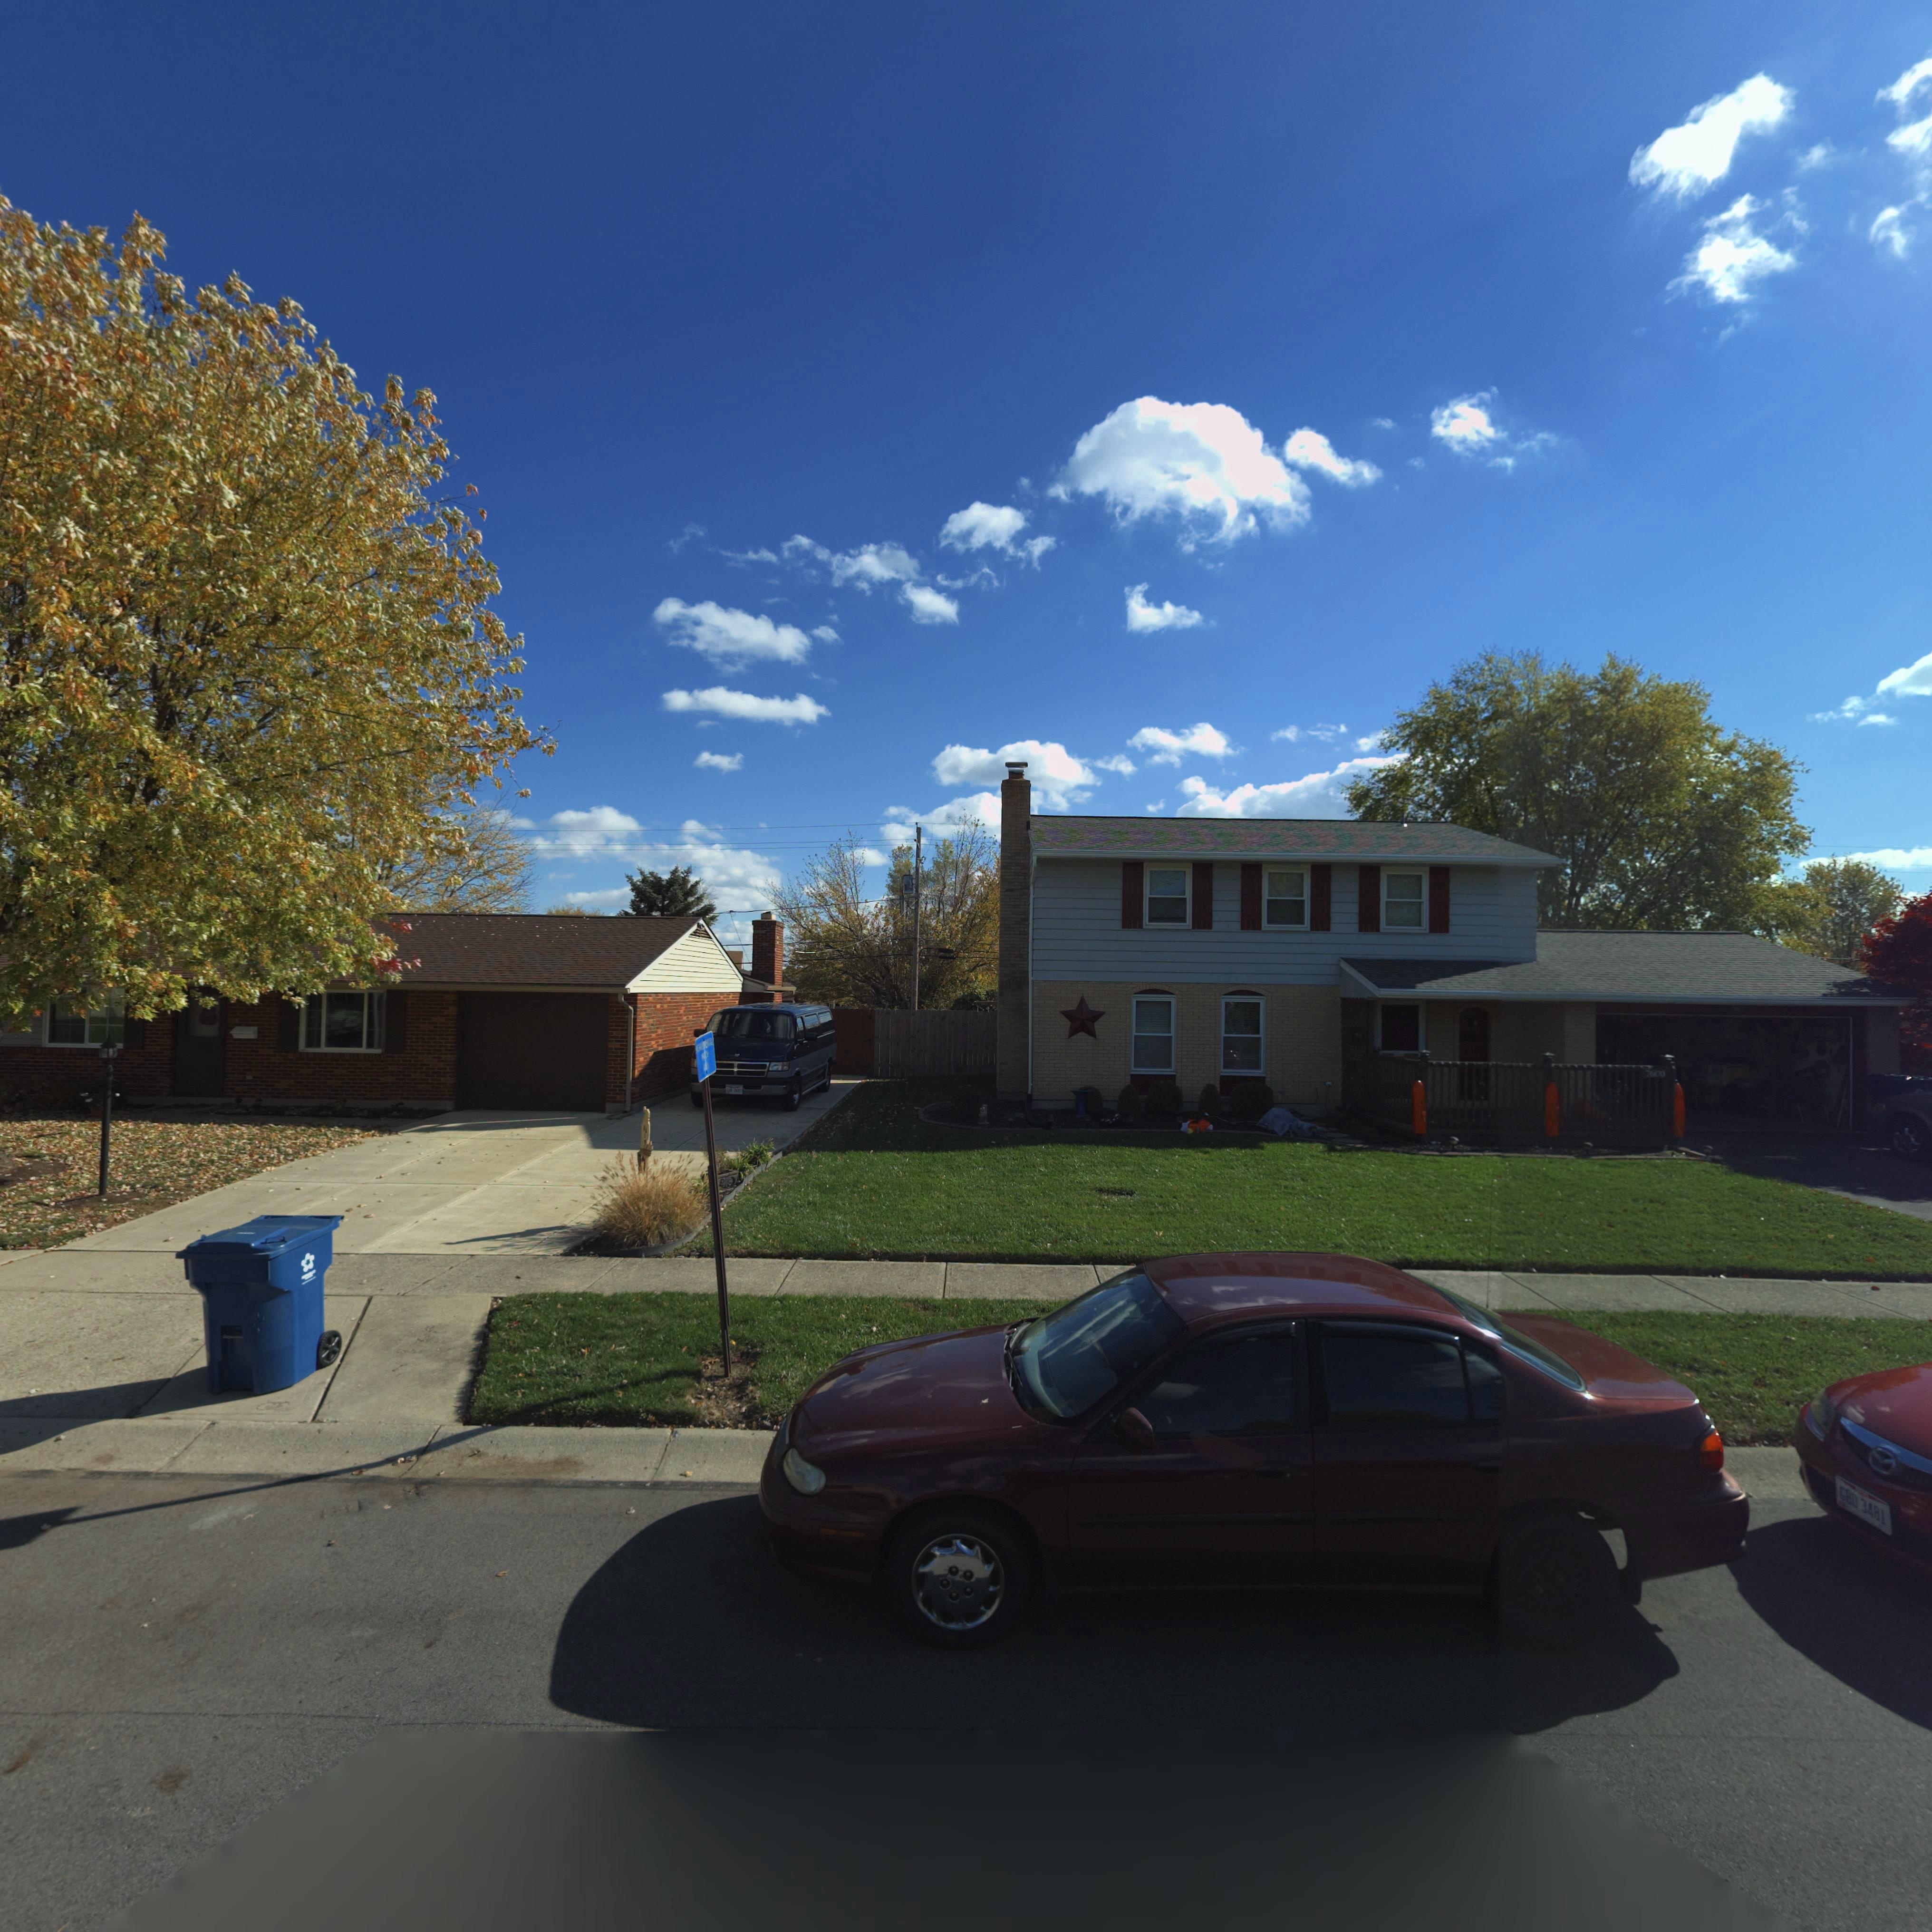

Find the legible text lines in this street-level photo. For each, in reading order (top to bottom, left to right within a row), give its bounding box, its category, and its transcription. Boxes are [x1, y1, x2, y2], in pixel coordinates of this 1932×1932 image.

[1644, 1069, 1667, 1079] StreetNumber: 7600